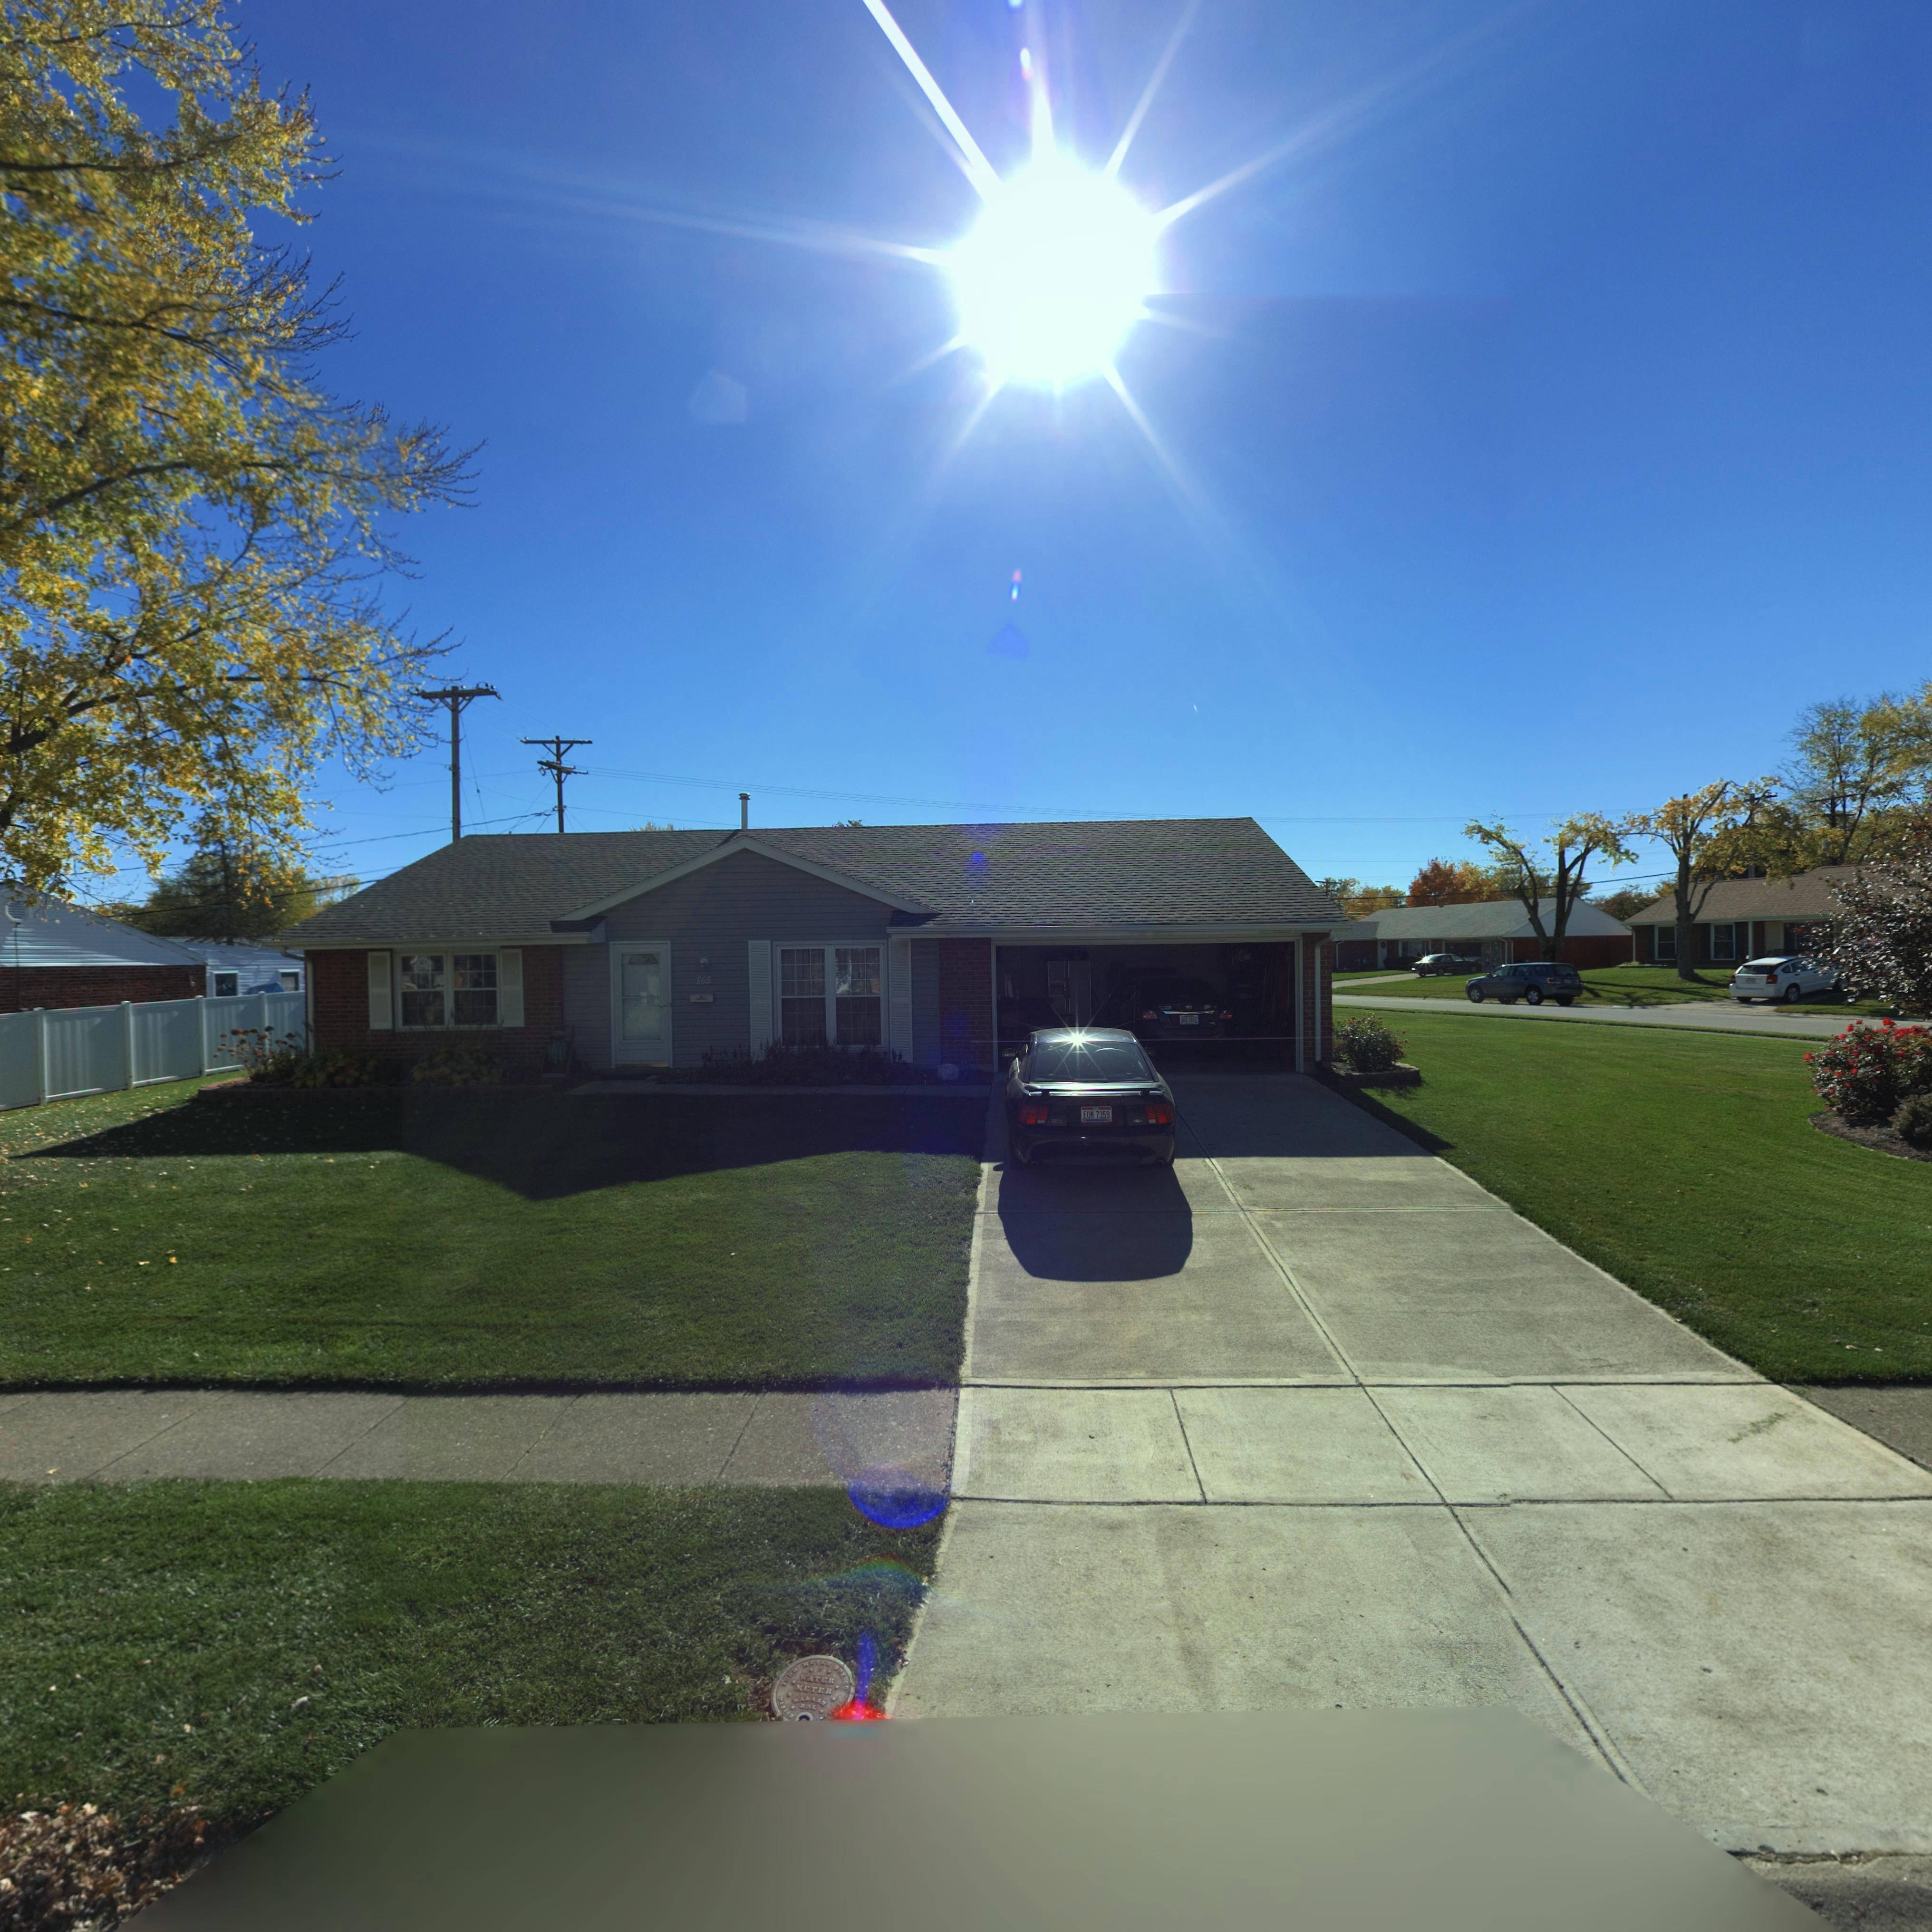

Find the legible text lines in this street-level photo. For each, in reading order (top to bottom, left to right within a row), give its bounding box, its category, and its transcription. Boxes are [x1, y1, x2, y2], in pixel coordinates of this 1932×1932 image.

[696, 976, 712, 985] StreetNumber: 805